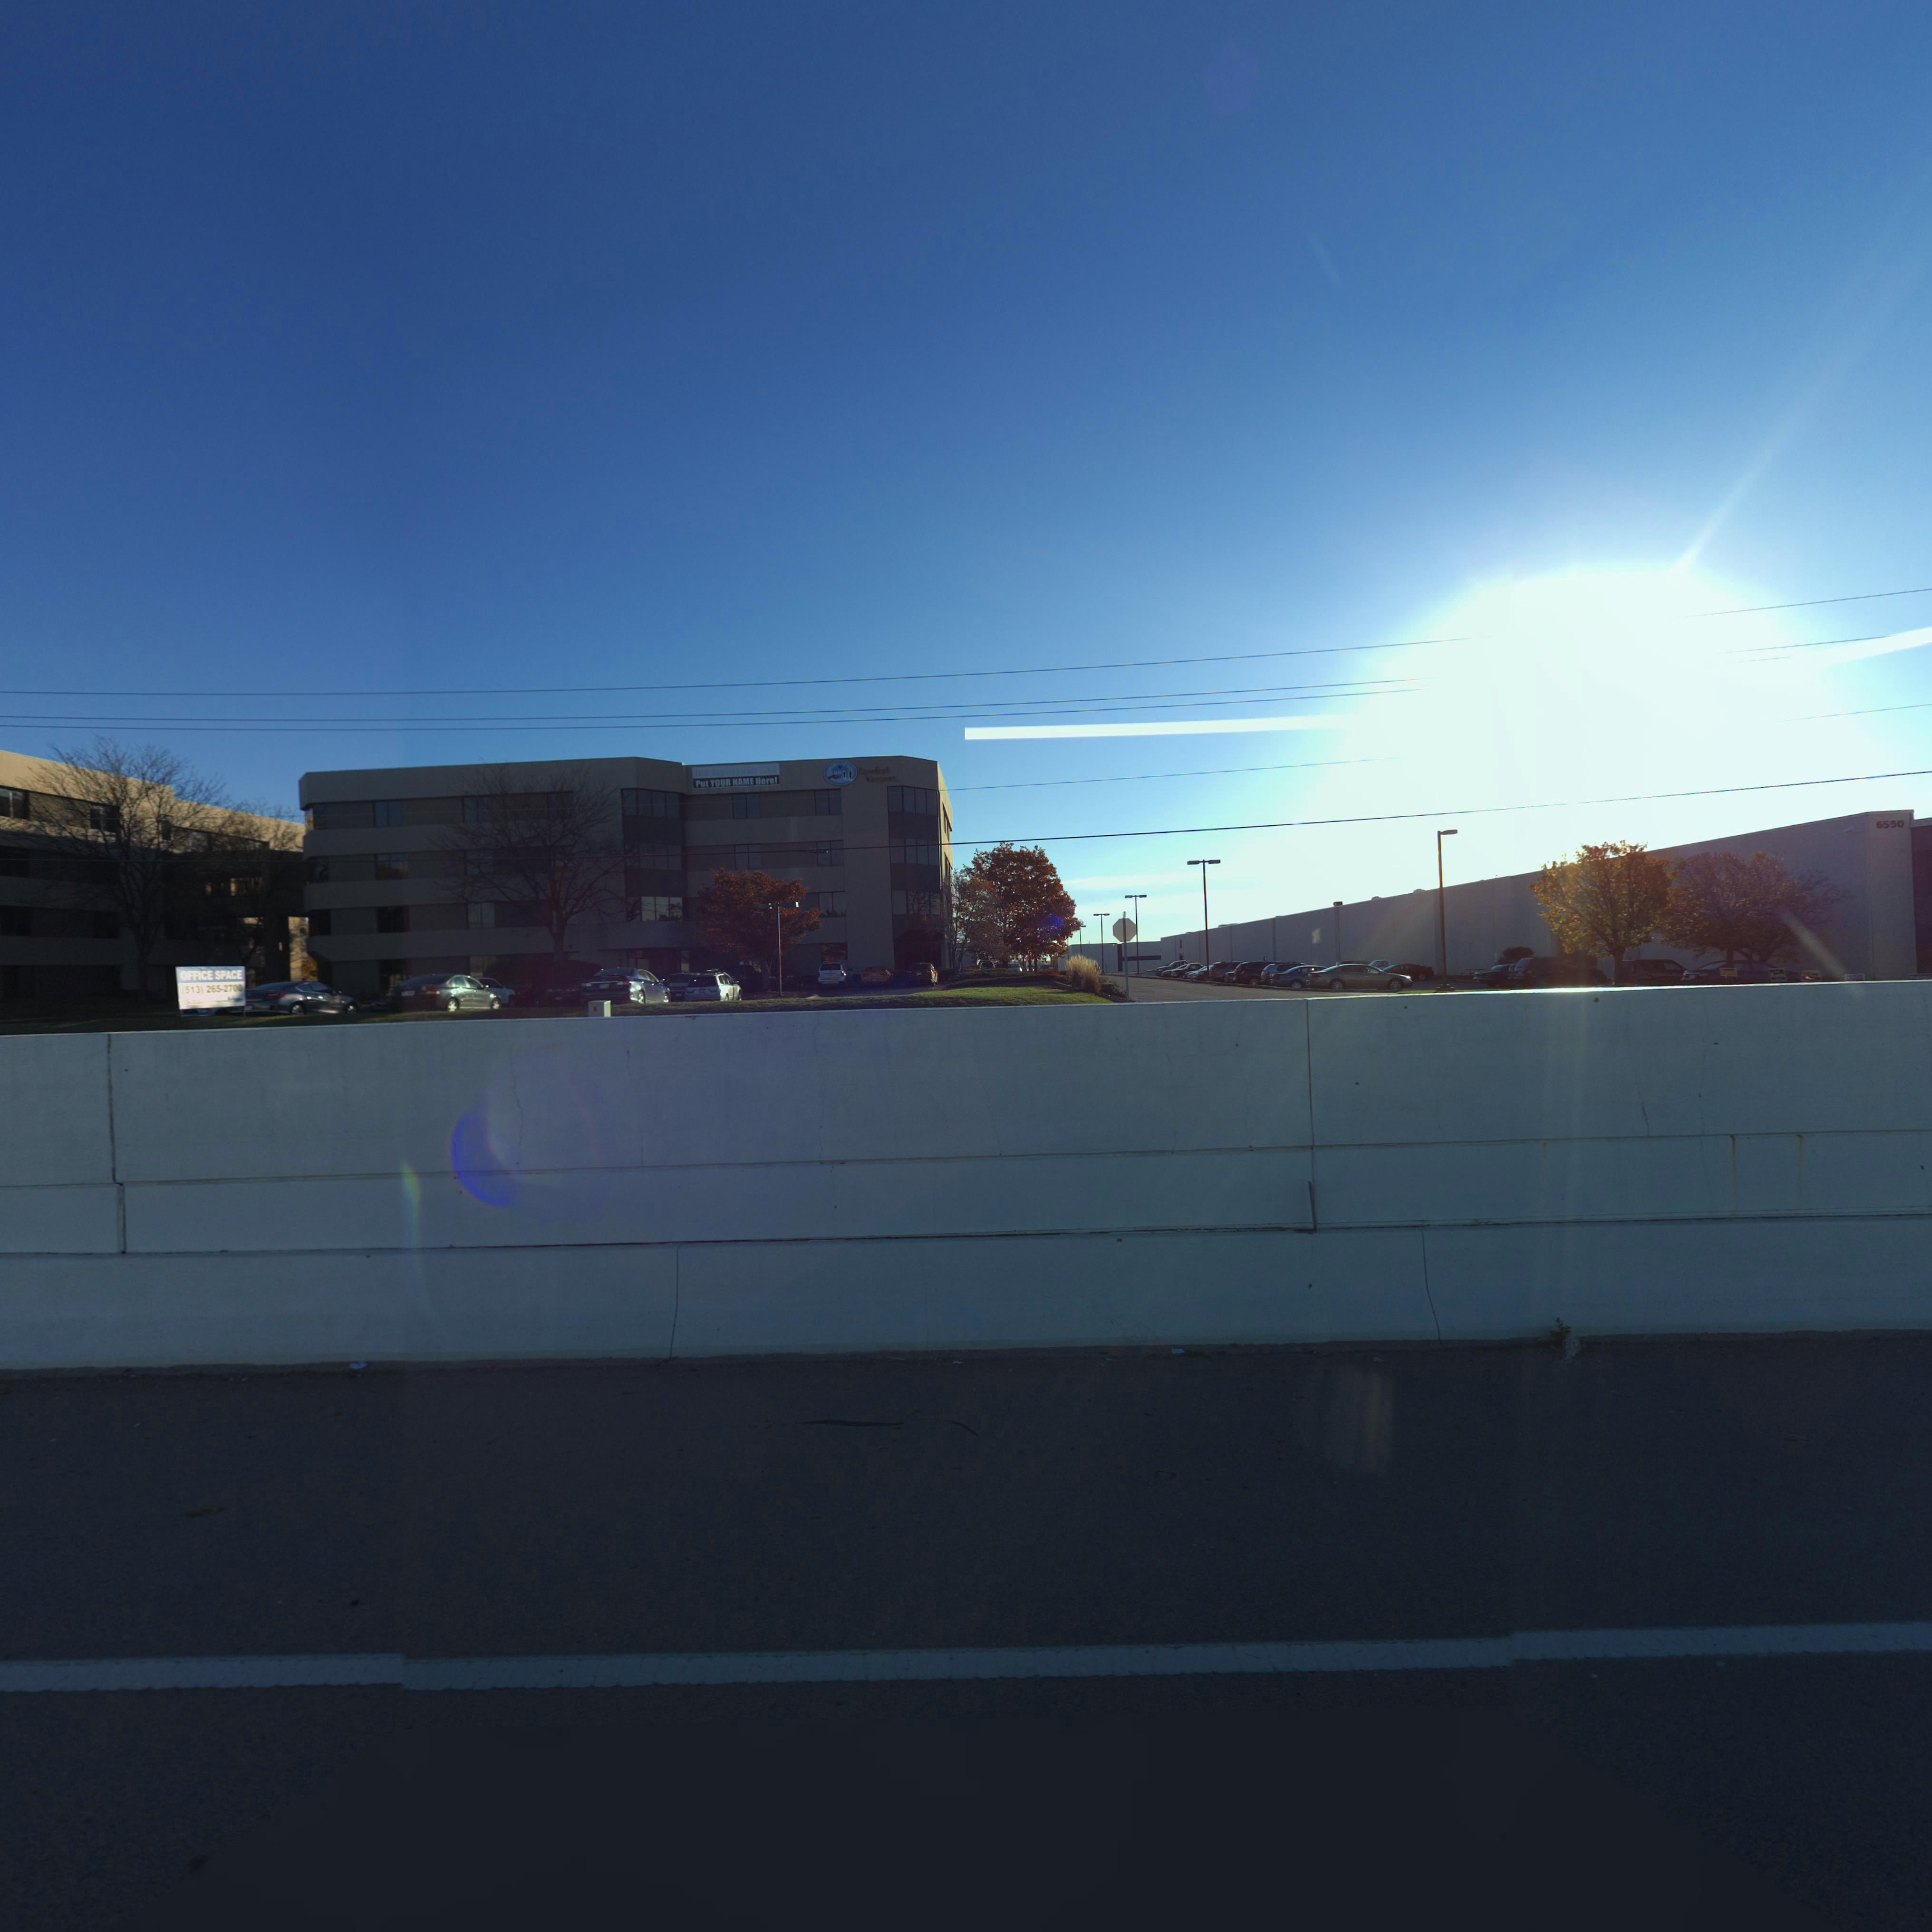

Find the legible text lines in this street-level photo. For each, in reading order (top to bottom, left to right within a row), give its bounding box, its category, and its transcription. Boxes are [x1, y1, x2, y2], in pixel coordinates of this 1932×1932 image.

[692, 776, 777, 789] None: Put YOUR NAME Here!
[1874, 818, 1905, 830] StreetNumber: 6550
[177, 969, 244, 982] None: OFFICE SPACE
[179, 982, 242, 996] None: (513)265-2700